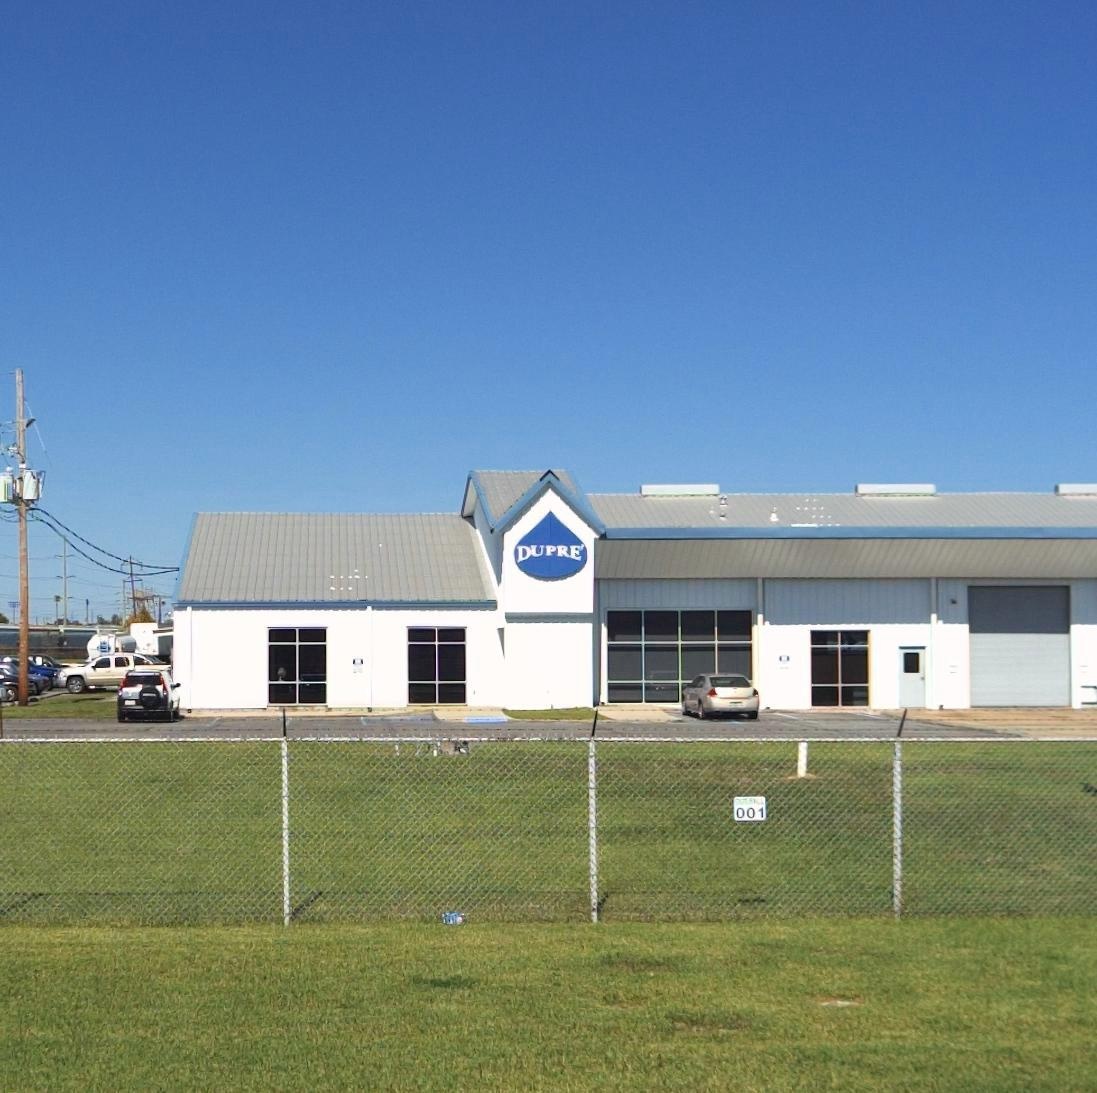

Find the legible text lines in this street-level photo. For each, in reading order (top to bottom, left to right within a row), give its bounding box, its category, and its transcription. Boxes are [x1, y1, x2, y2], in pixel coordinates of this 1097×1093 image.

[516, 544, 582, 565] BusinessName: DUPRE
[736, 806, 764, 819] None: 001